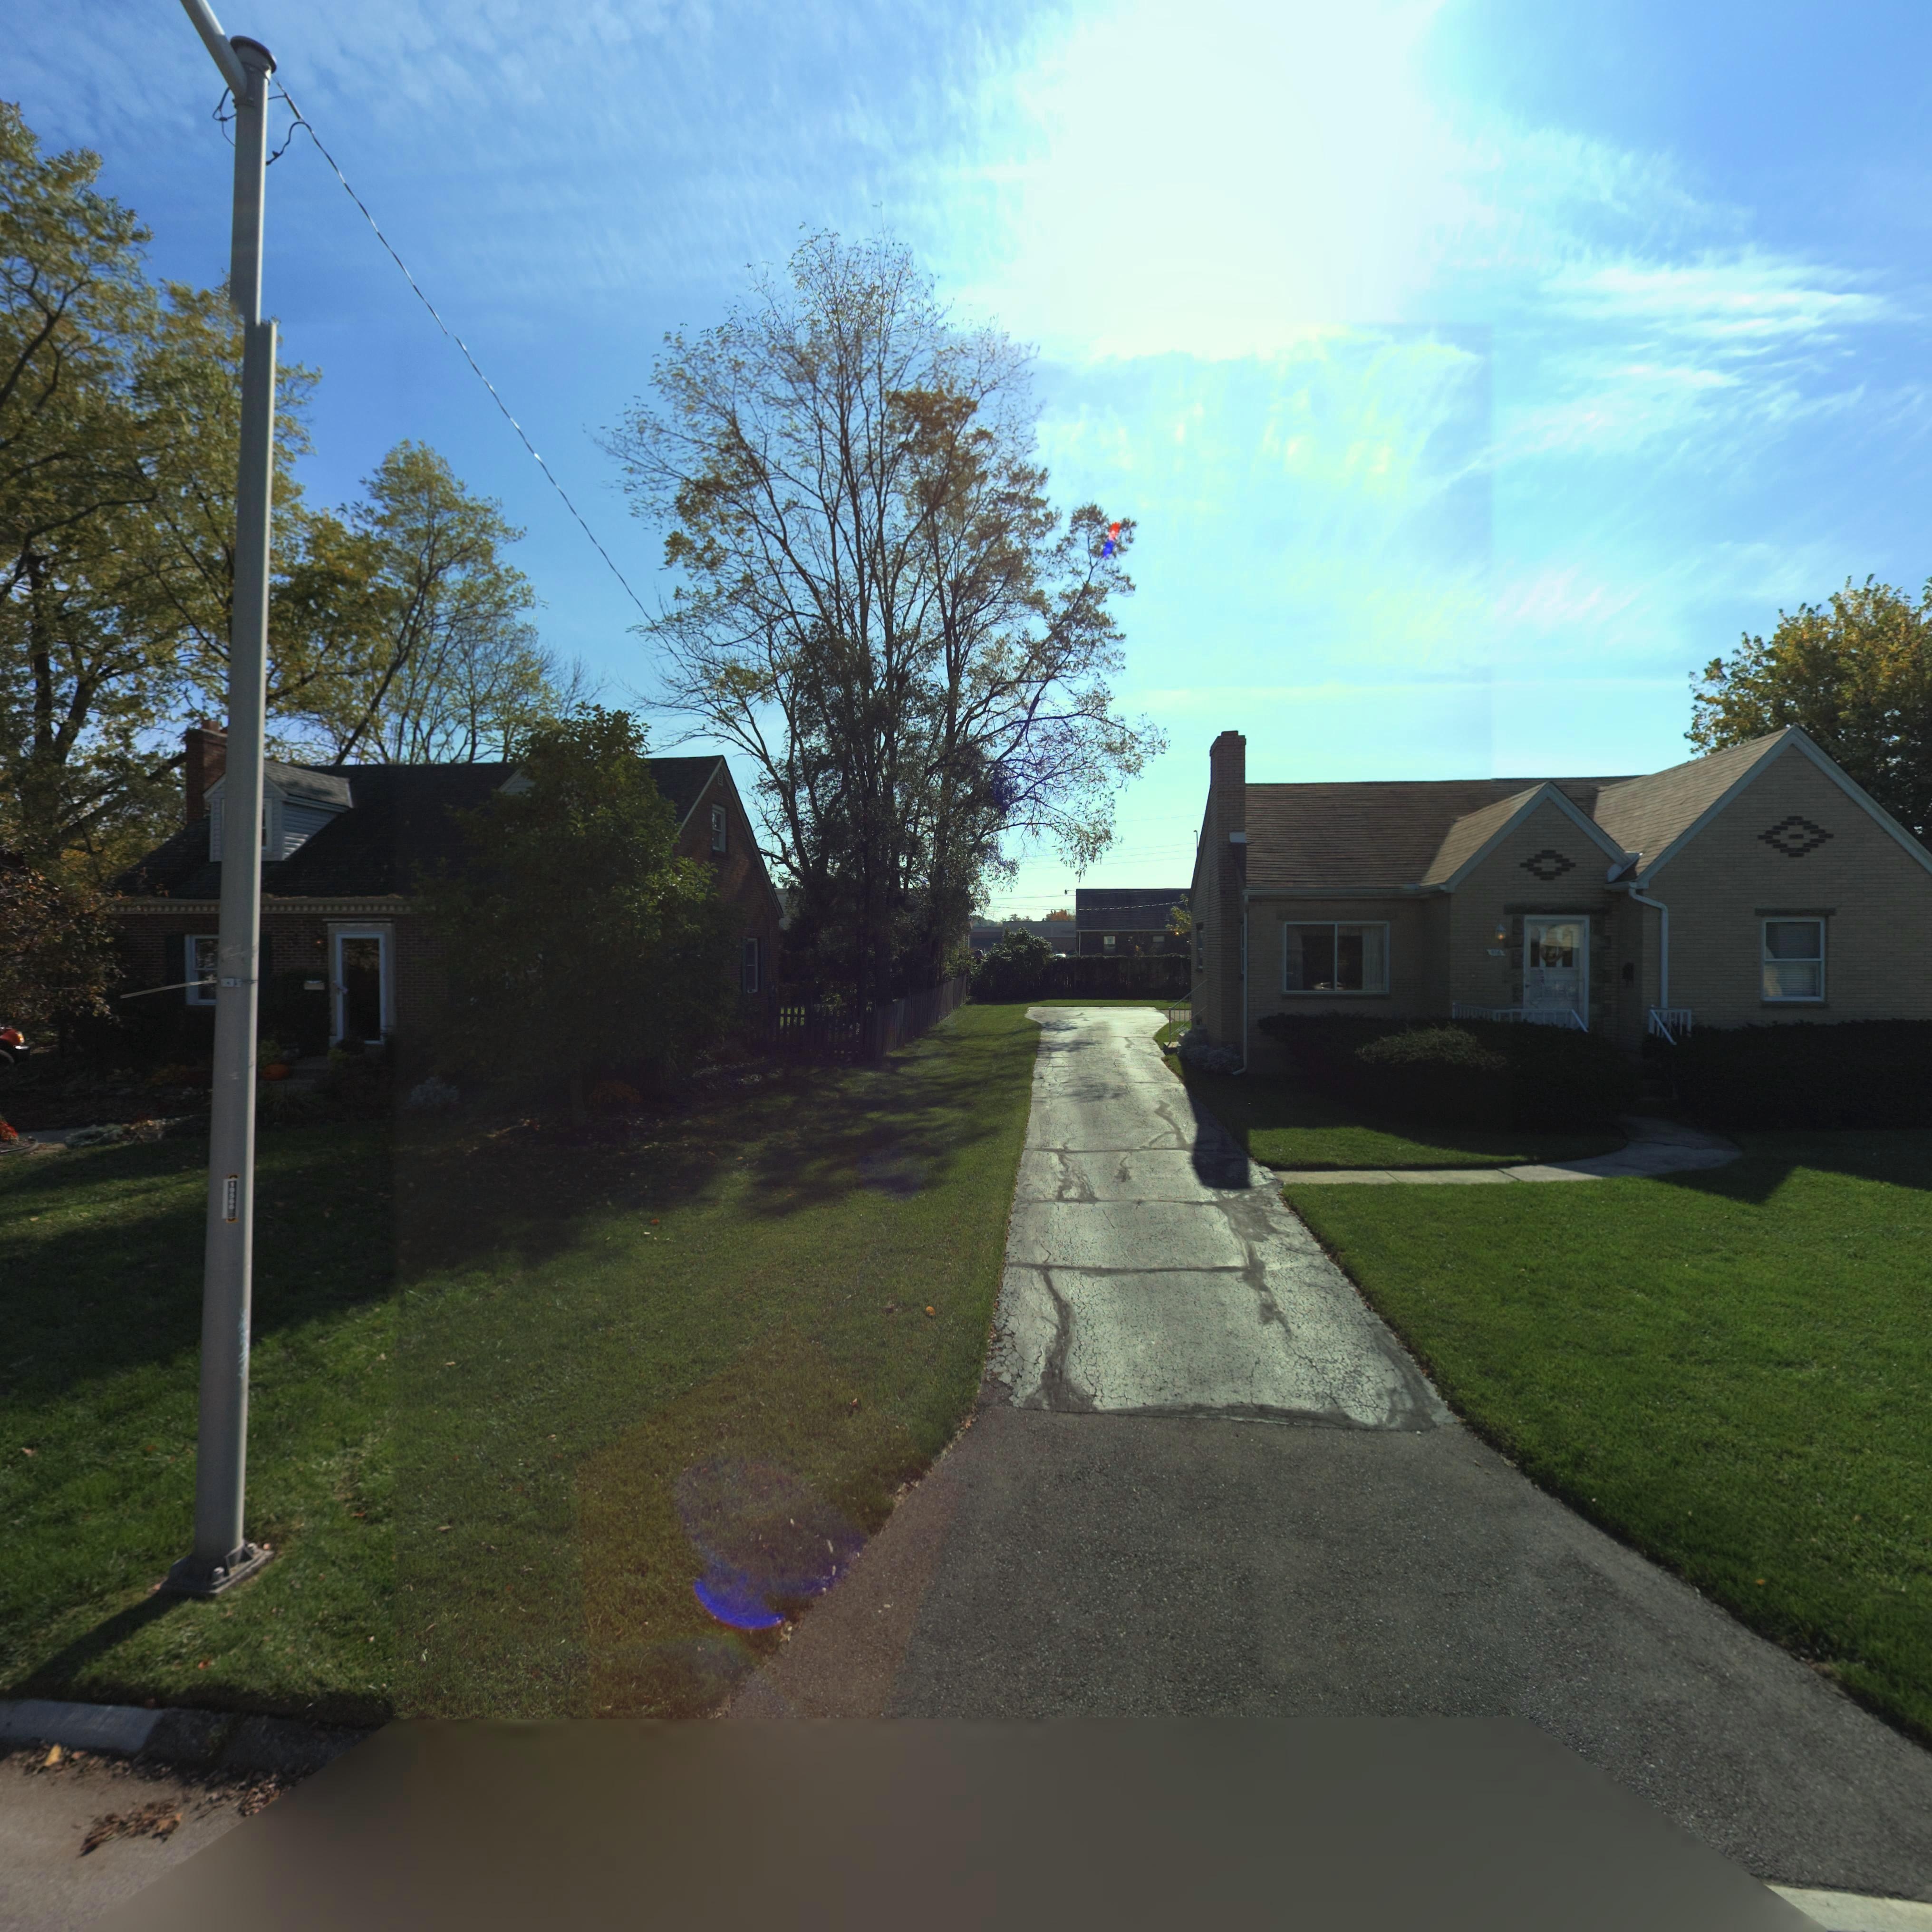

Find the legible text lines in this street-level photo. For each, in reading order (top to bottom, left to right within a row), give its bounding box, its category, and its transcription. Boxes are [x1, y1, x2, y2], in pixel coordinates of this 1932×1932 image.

[1490, 949, 1501, 956] StreetNumber: 516
[229, 1182, 235, 1210] None: 19*66